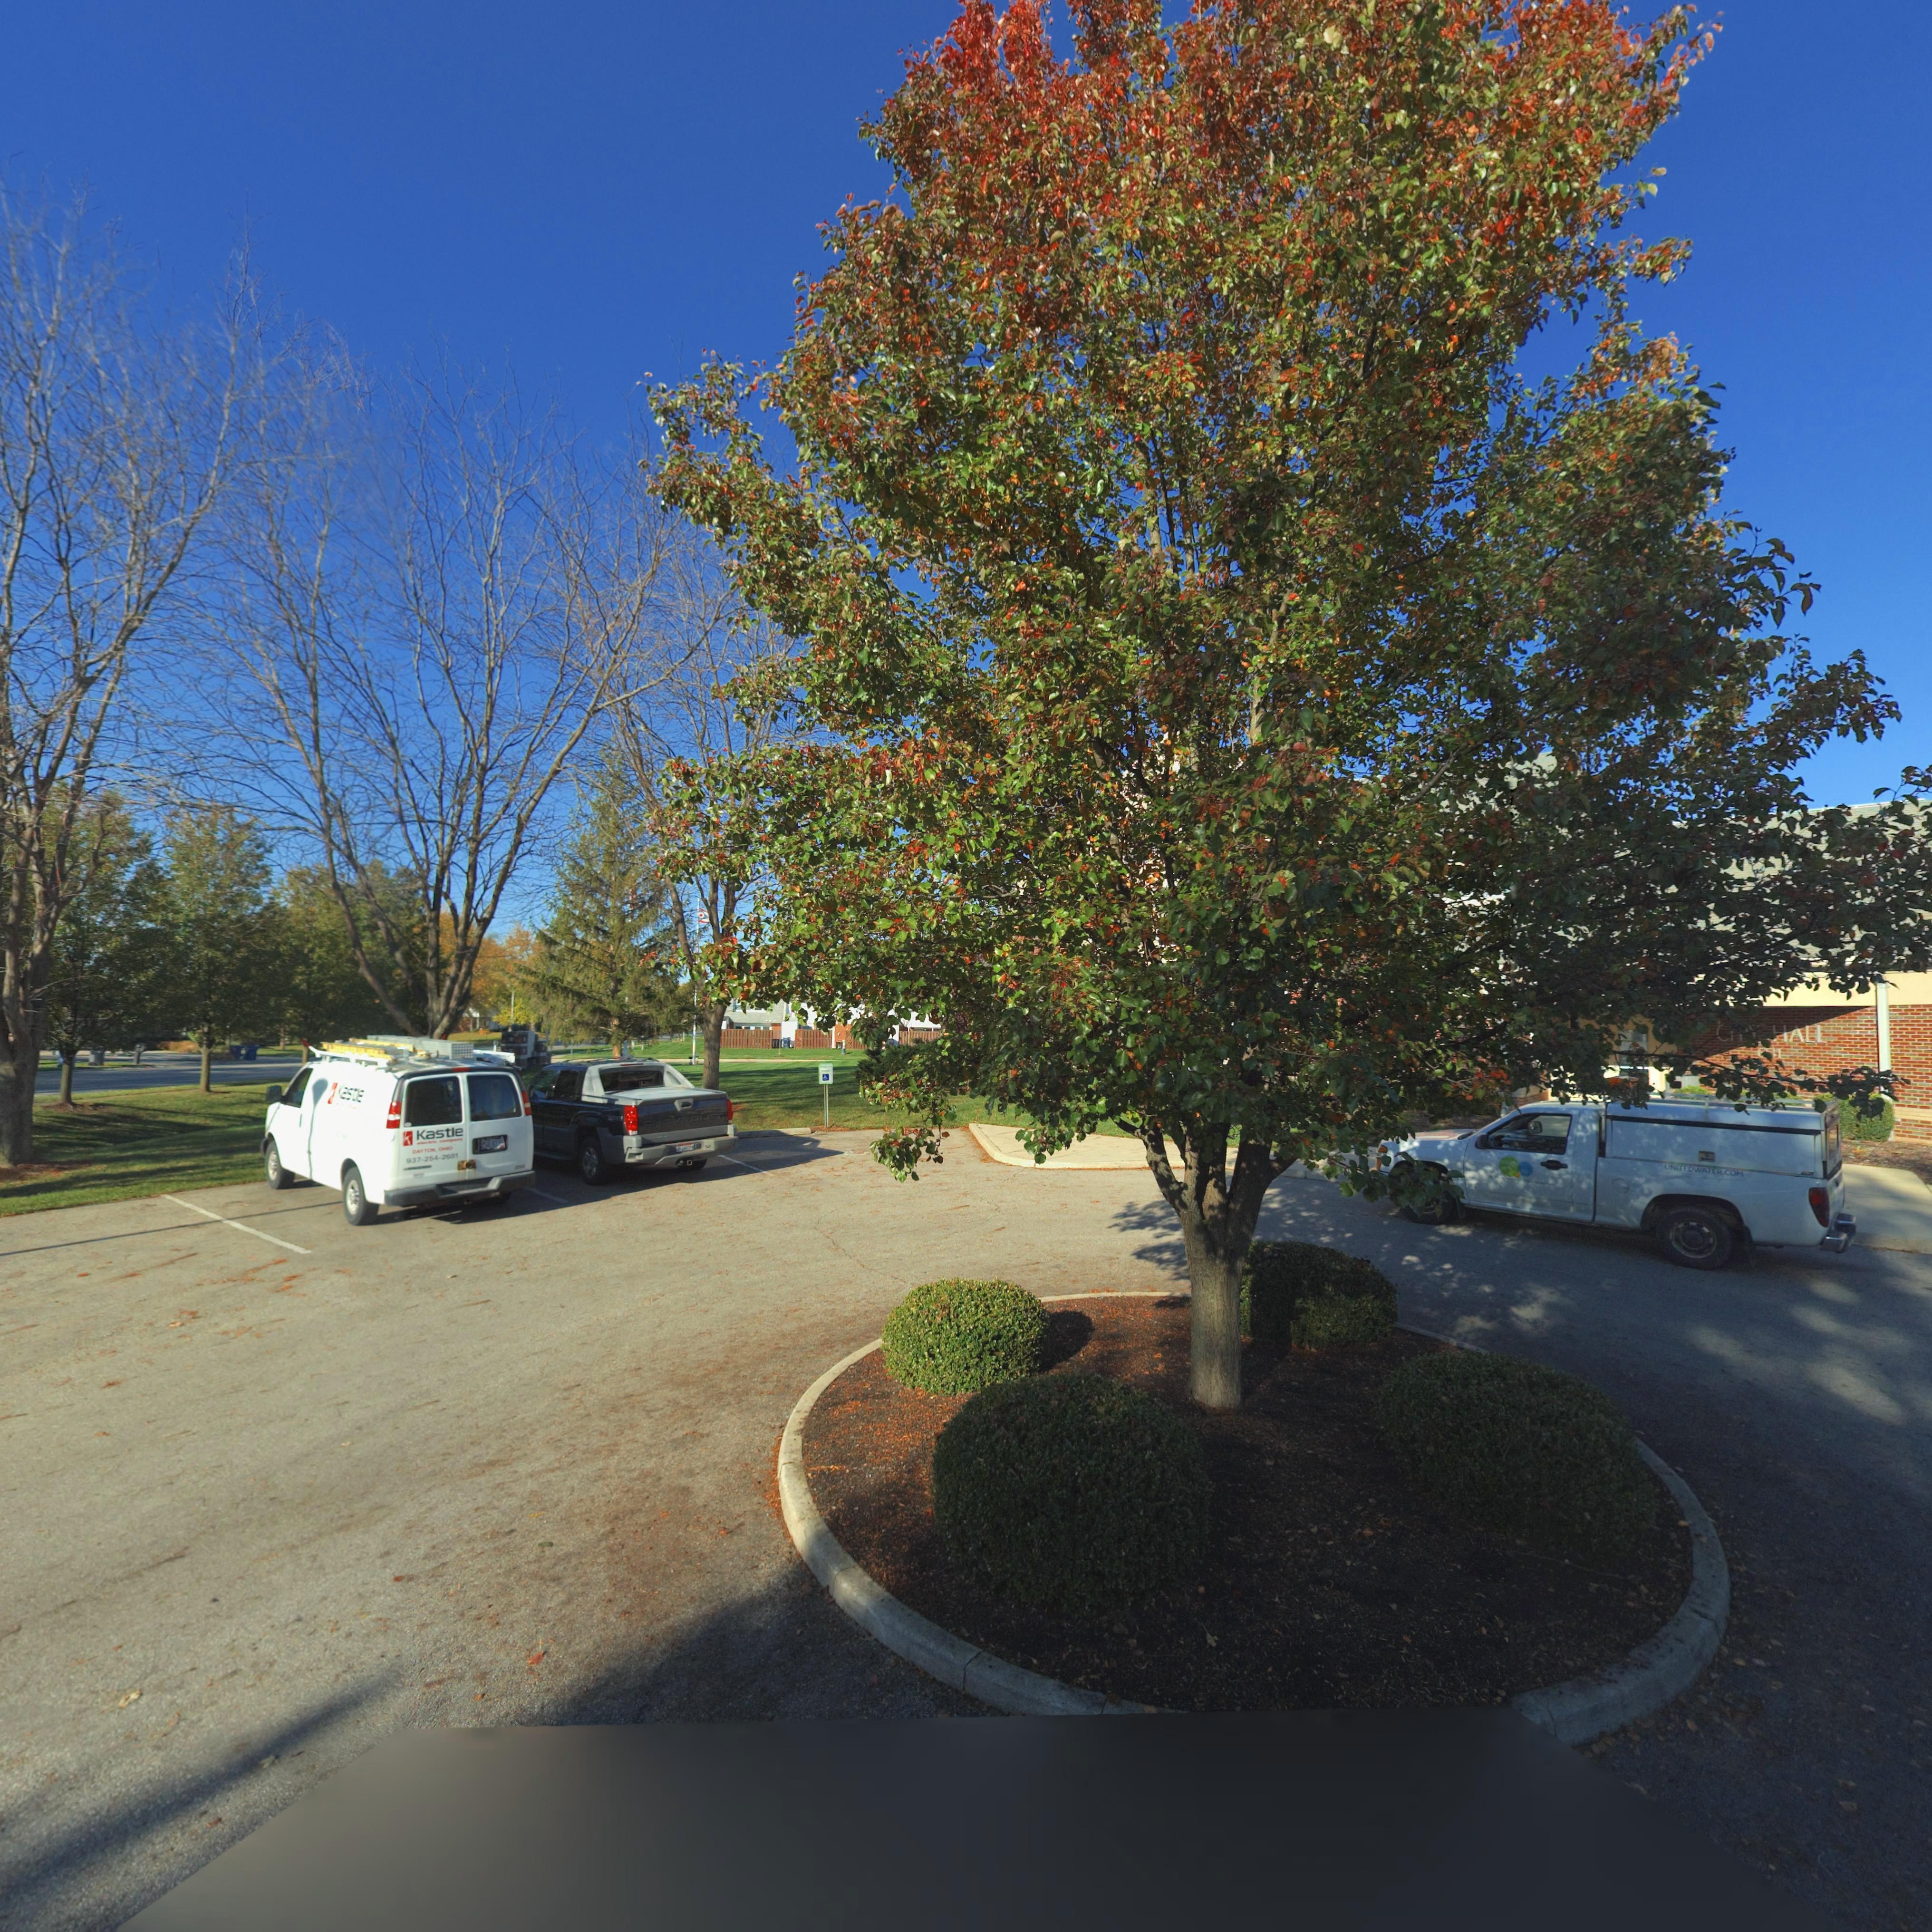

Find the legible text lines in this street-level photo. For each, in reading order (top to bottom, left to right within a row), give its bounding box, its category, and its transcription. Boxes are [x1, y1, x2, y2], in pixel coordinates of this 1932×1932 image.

[1757, 1047, 1782, 1058] StreetNumber: 6**1